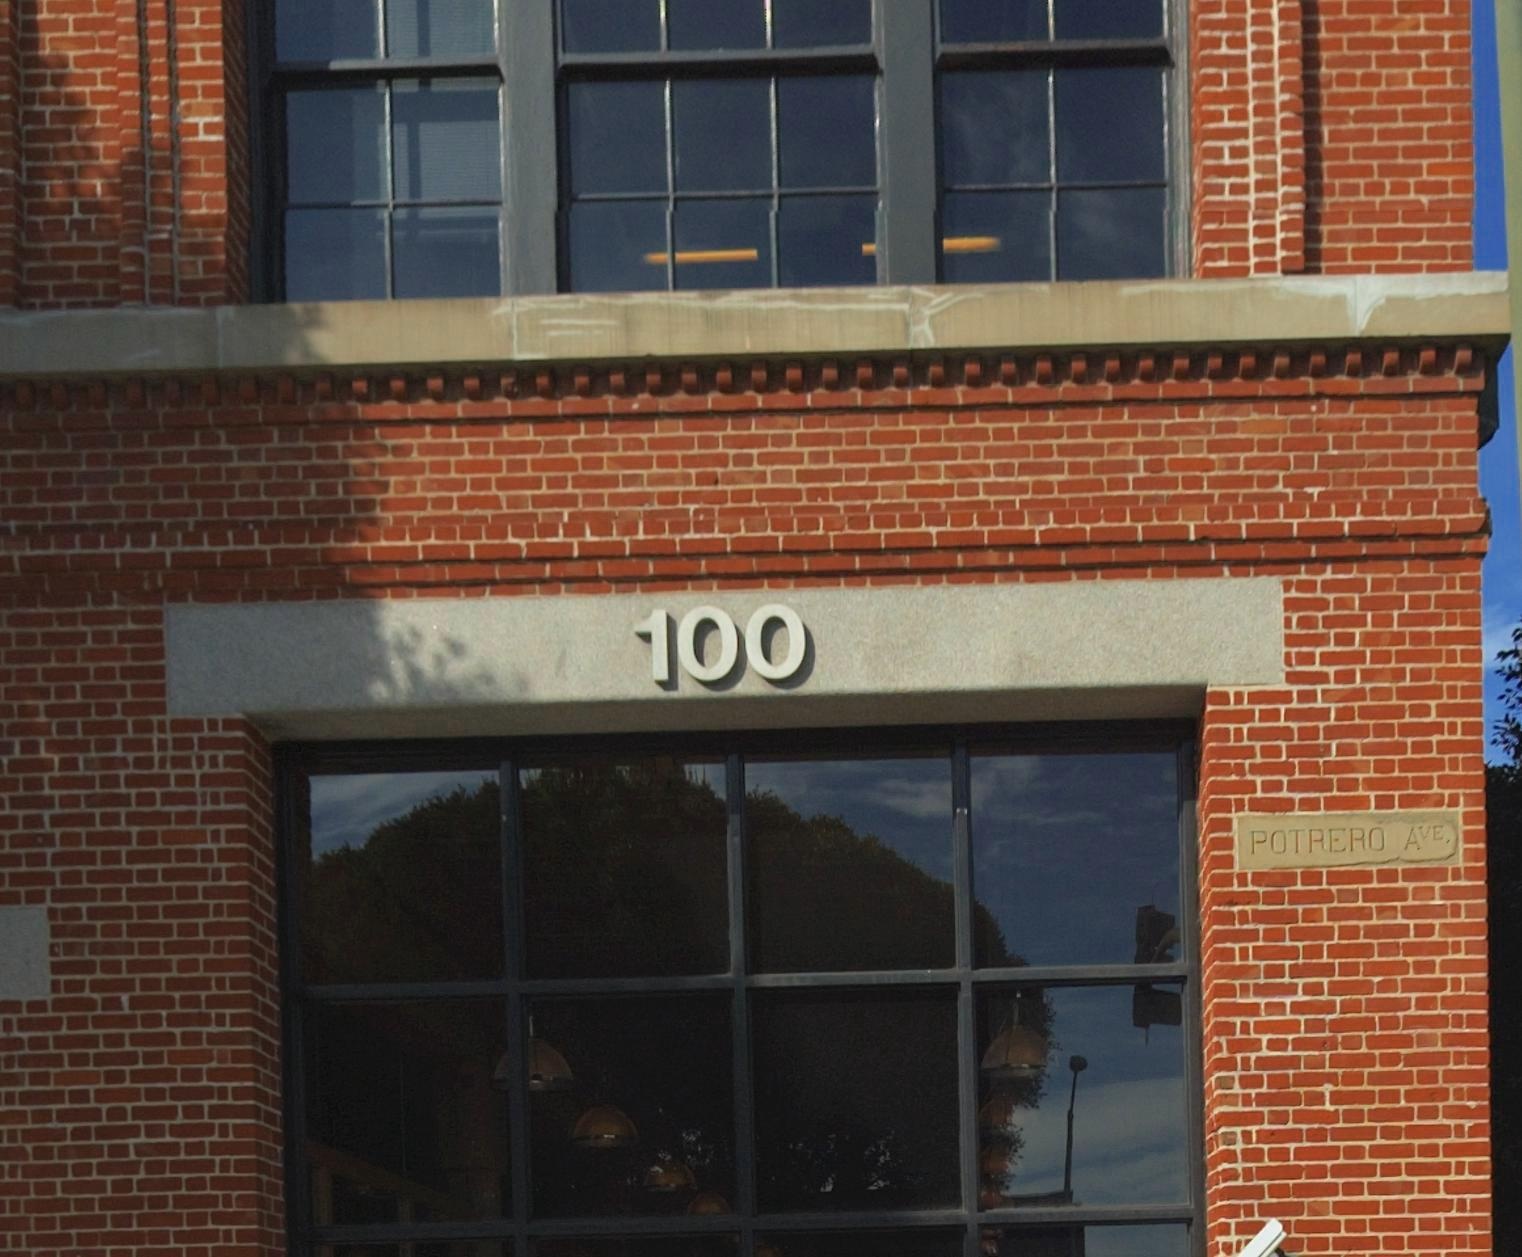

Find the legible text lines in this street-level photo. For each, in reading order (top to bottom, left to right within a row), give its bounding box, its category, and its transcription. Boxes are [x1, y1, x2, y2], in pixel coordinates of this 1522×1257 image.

[628, 599, 811, 692] StreetNumber: 100
[1247, 821, 1455, 858] StreetName: POTRERO AVE.